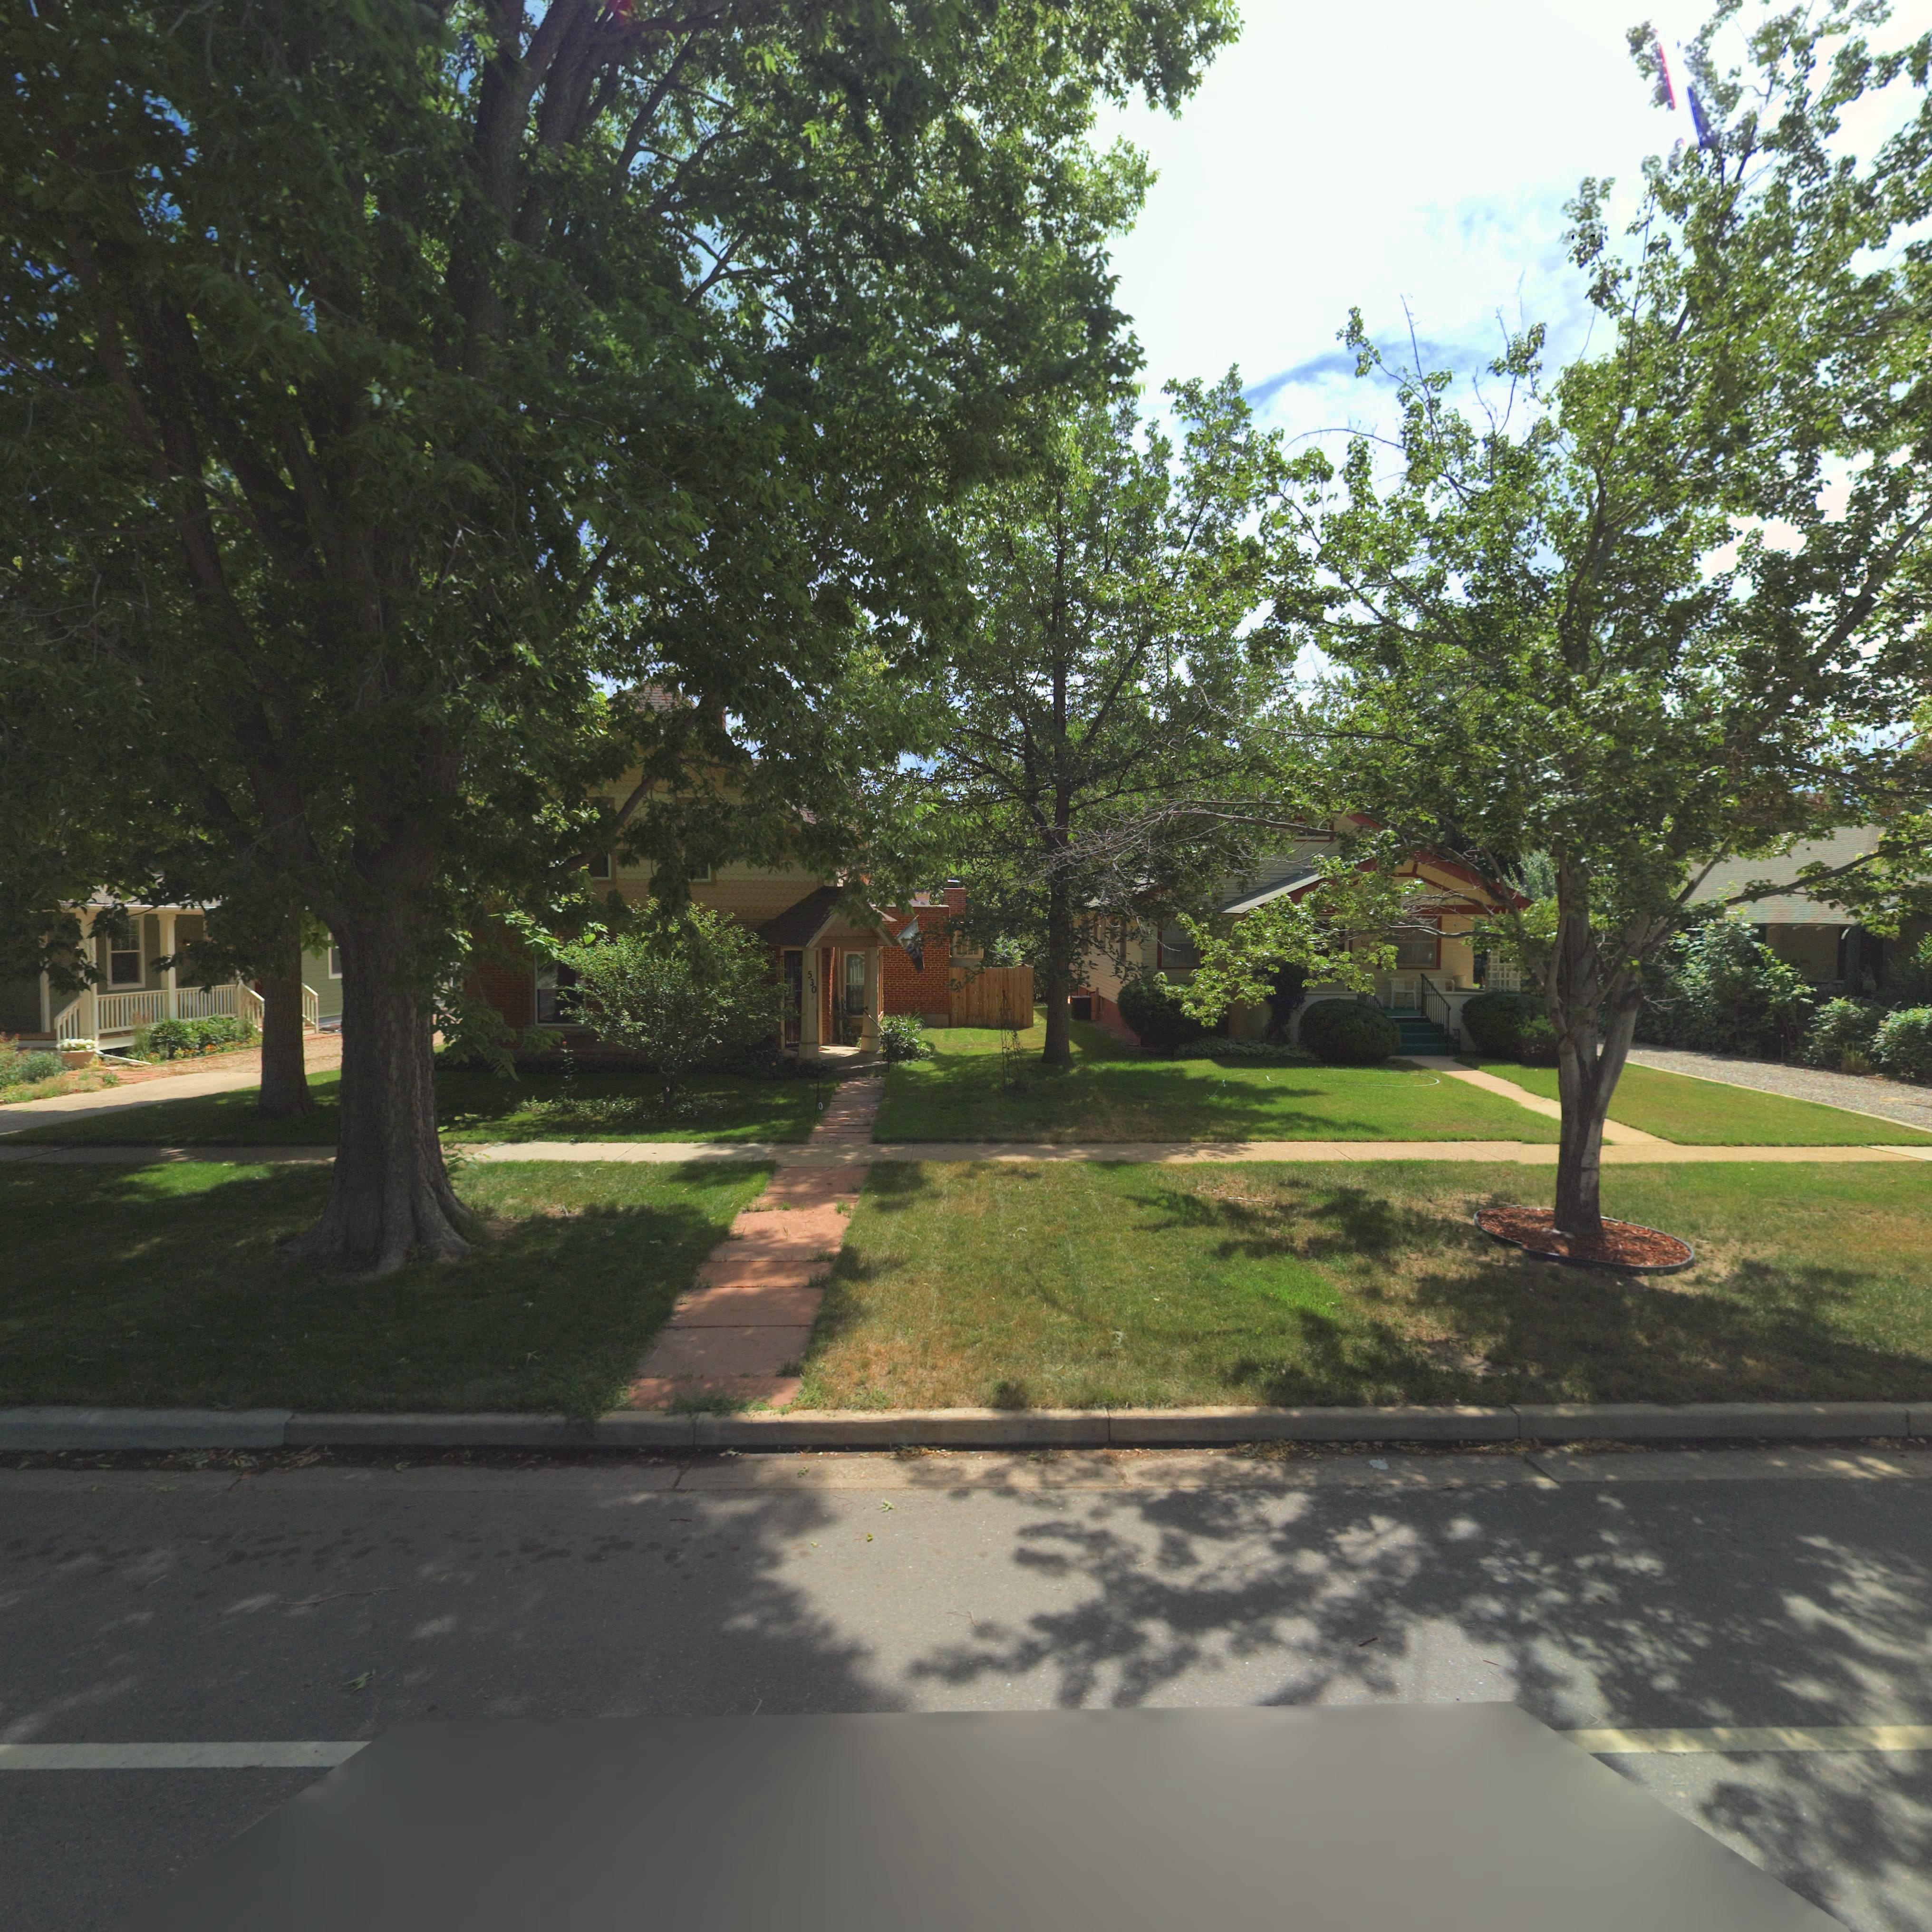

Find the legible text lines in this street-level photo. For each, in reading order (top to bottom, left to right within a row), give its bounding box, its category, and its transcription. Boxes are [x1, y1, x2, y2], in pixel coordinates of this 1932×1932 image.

[808, 970, 816, 993] StreetNumber: 530